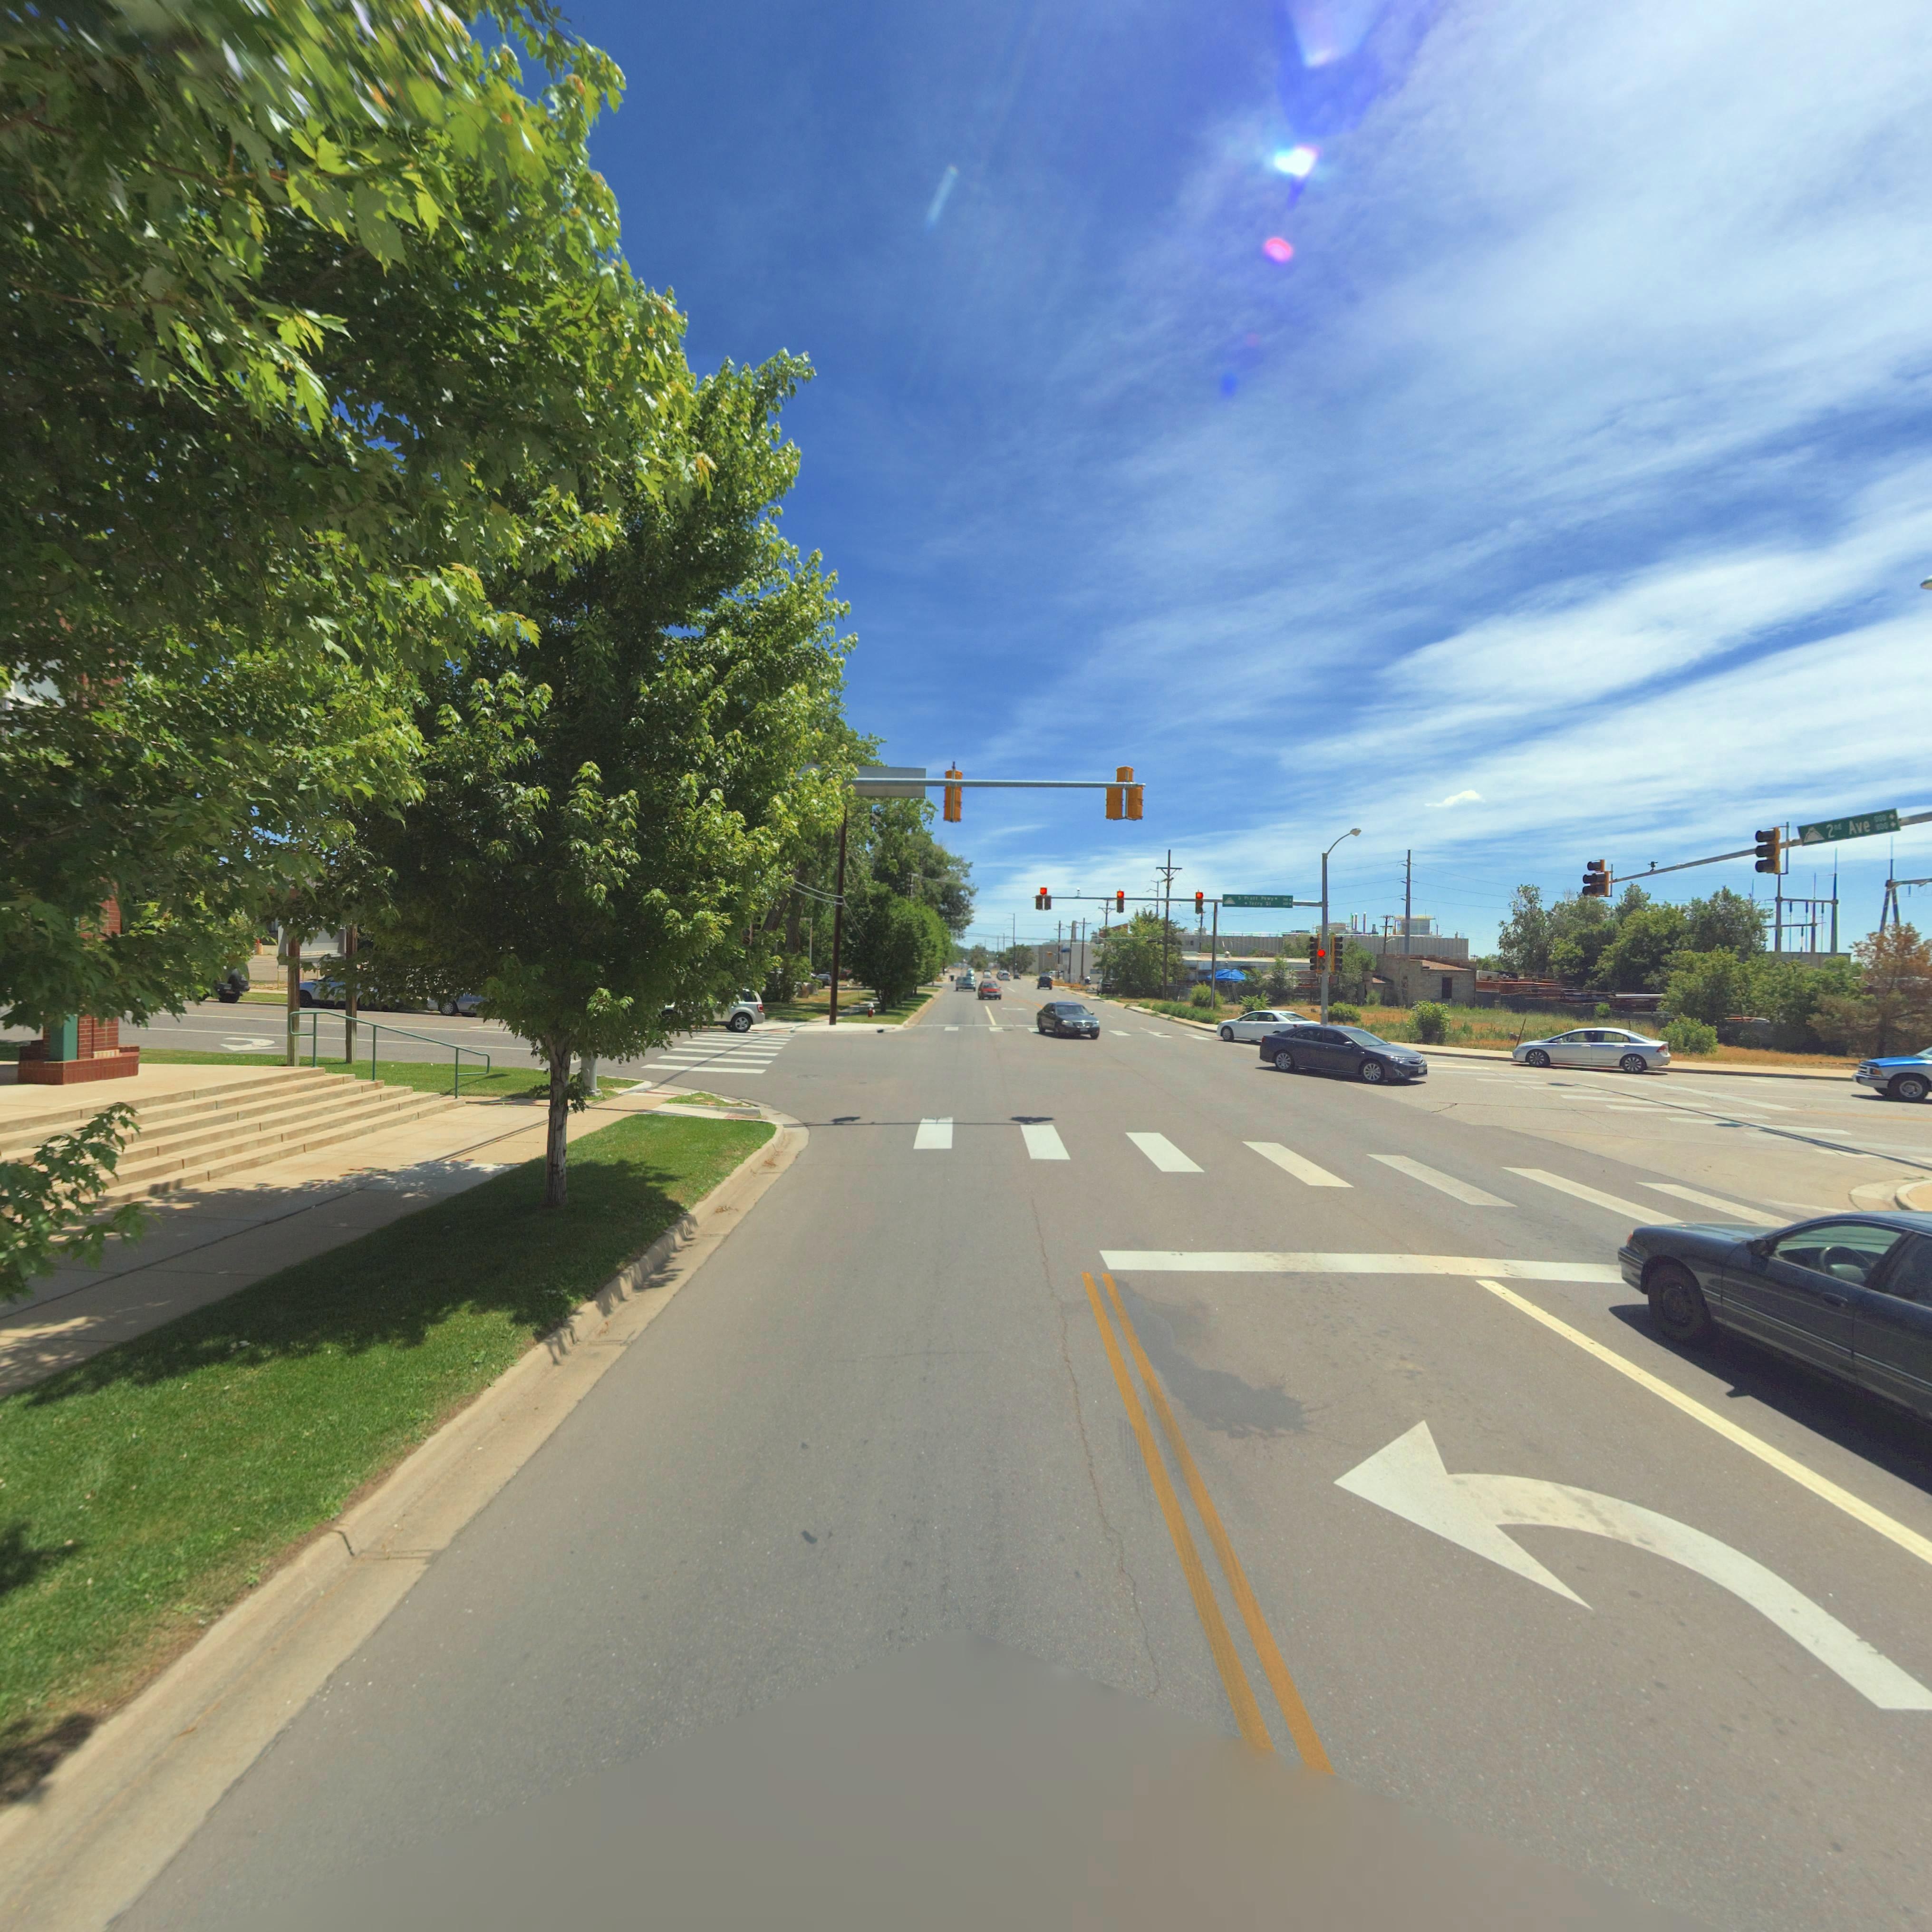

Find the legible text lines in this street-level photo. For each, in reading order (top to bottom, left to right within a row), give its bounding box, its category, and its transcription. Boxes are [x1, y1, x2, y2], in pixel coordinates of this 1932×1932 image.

[1874, 813, 1886, 823] StreetNumberRange: *00
[1825, 820, 1871, 839] StreetName: 2nd Ave
[1876, 822, 1888, 831] StreetNumberRange: *00
[1237, 896, 1274, 901] StreetName: S Pratt P*wy
[1248, 901, 1271, 907] StreetName: *err S*